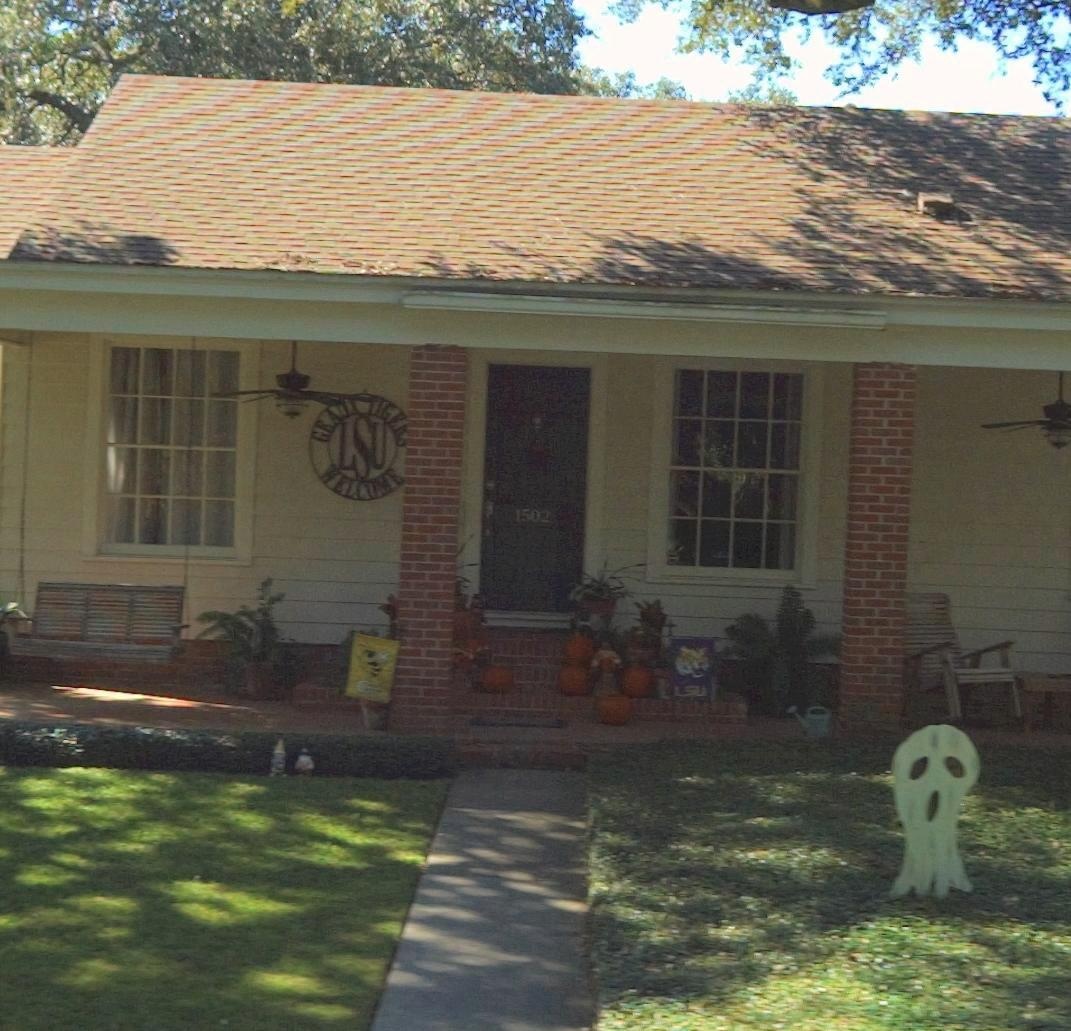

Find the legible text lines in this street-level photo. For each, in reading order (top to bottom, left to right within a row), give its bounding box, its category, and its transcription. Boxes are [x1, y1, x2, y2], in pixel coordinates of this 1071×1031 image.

[306, 404, 346, 448] None: GRA
[338, 411, 391, 484] None: LSU
[315, 458, 410, 503] None: WELCOME
[514, 506, 553, 526] StreetNumber: 1502
[672, 683, 709, 699] None: LSU